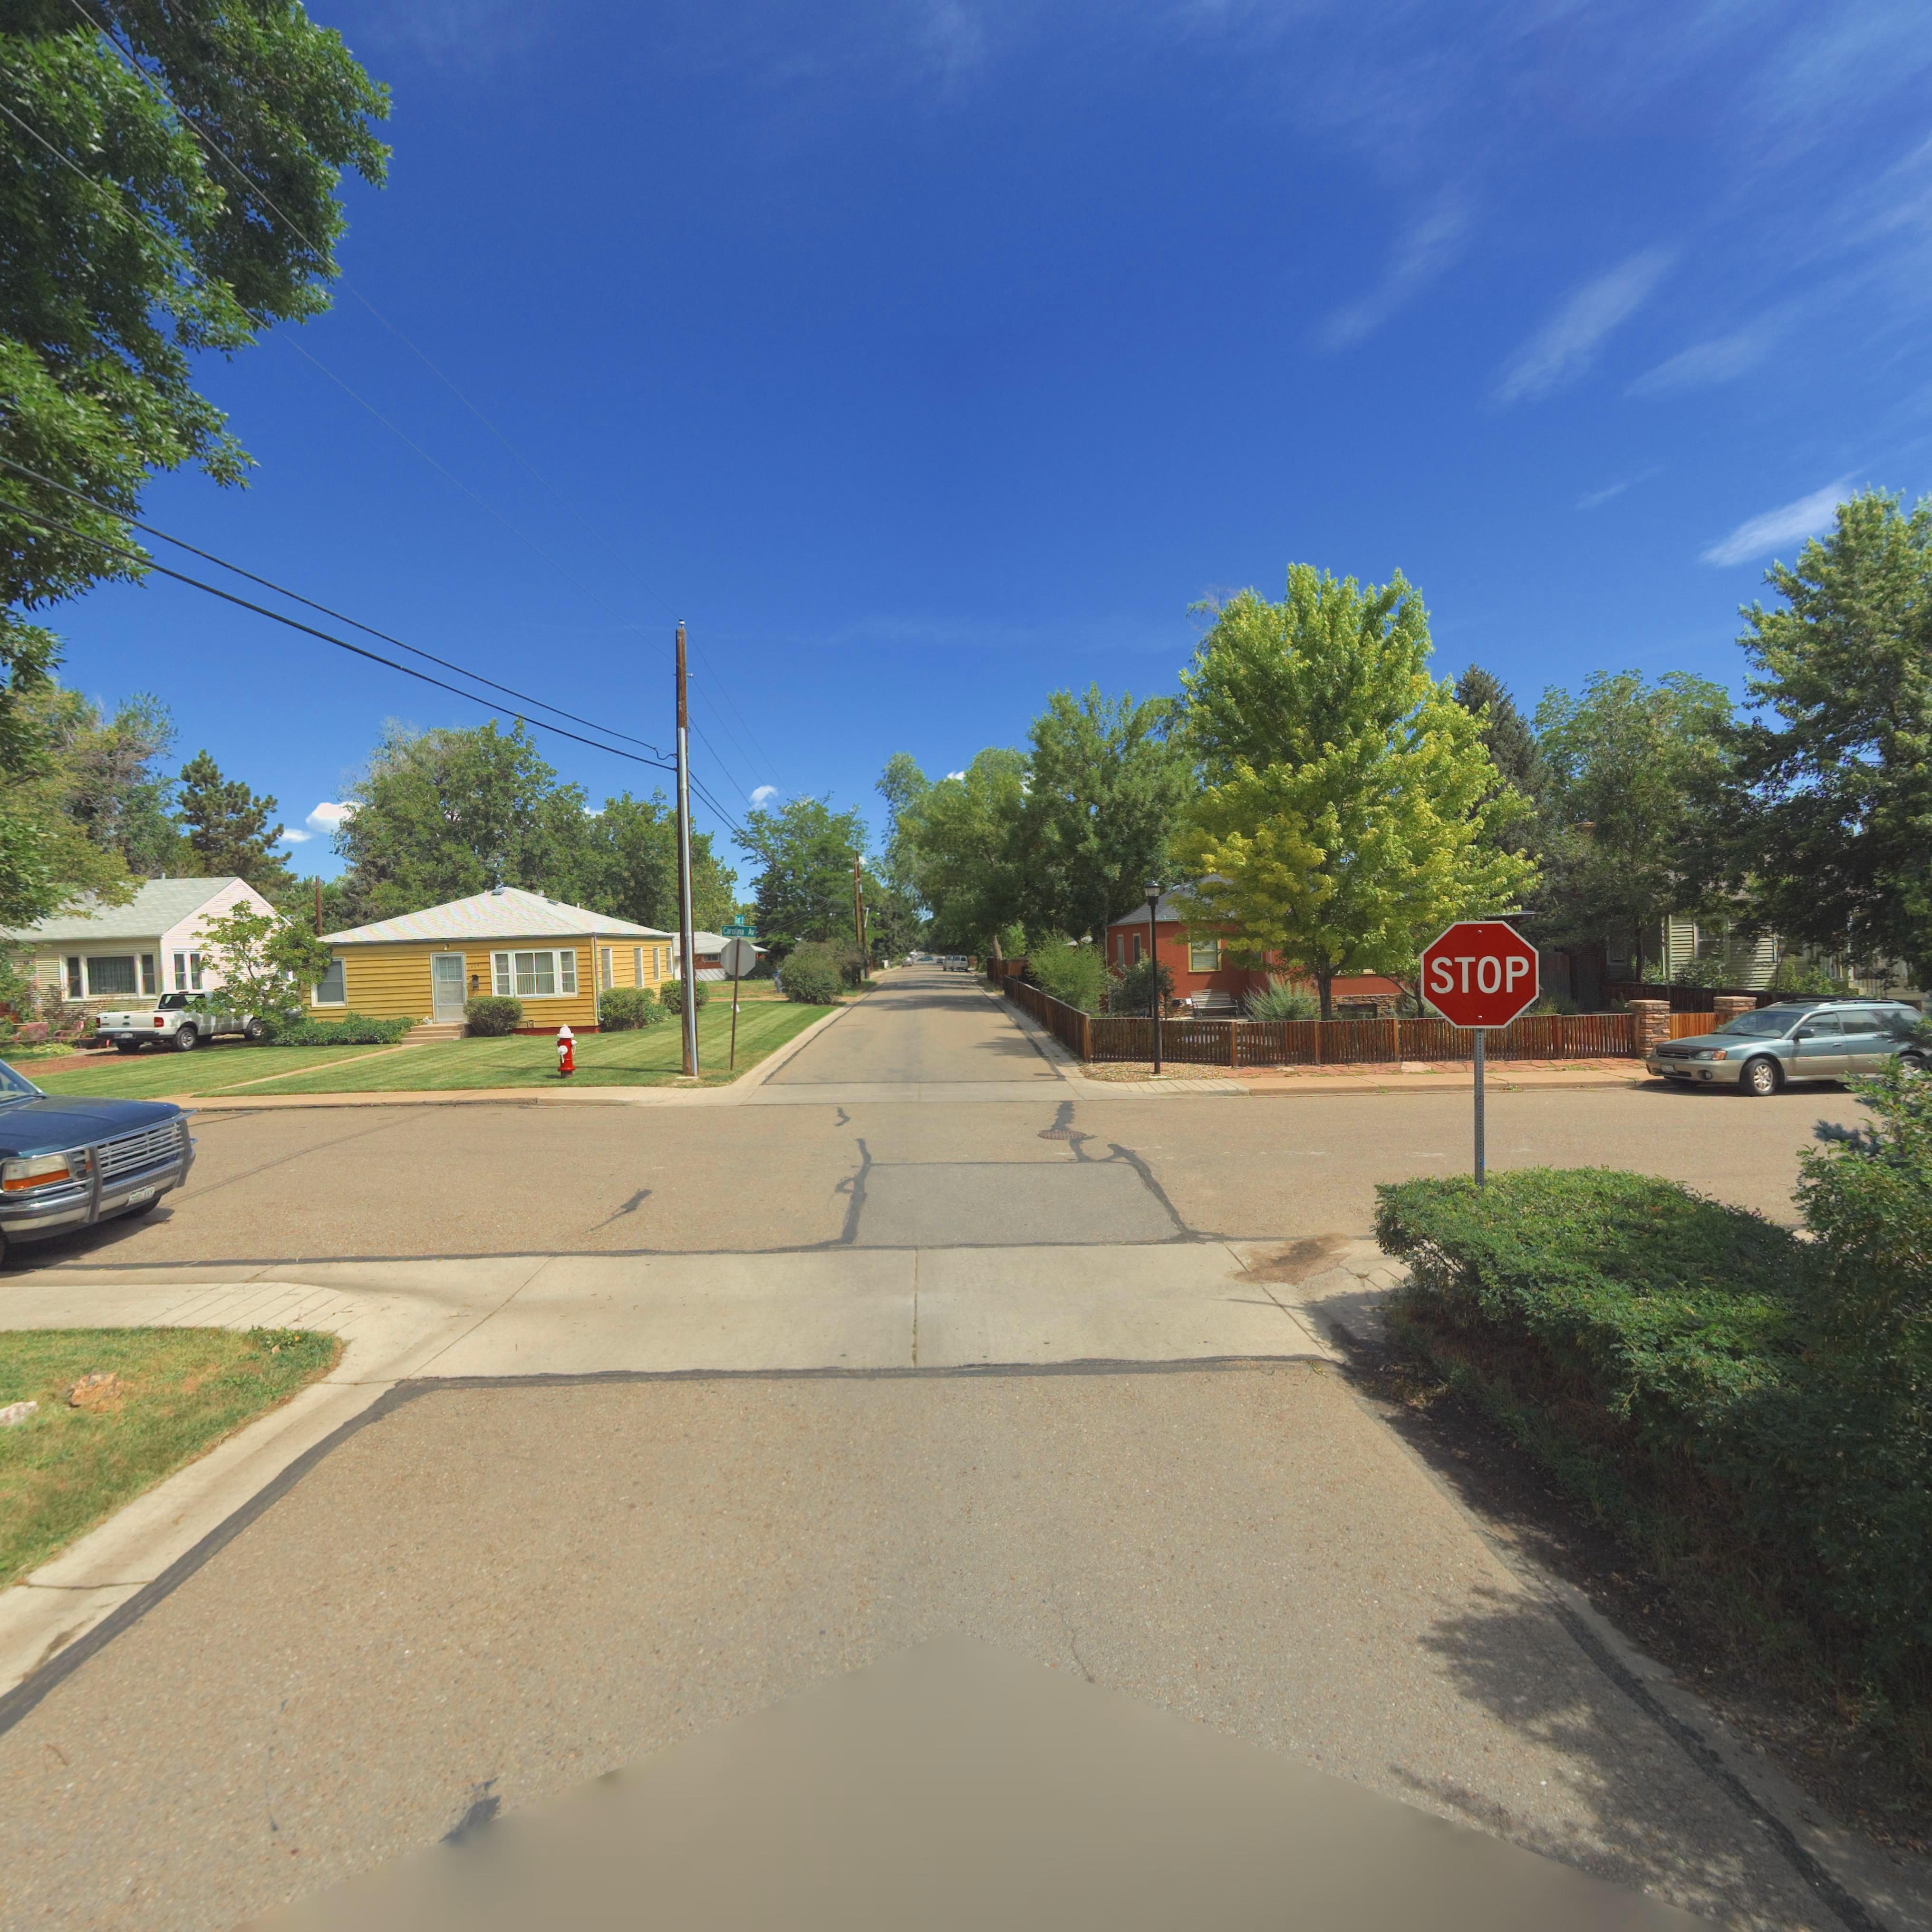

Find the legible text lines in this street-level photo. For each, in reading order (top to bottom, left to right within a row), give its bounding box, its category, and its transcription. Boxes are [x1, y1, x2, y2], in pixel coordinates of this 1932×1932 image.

[734, 915, 744, 924] StreetName: G***t S*
[722, 926, 755, 936] StreetName: Carolina Av
[467, 962, 480, 970] StreetNumber: 1**4